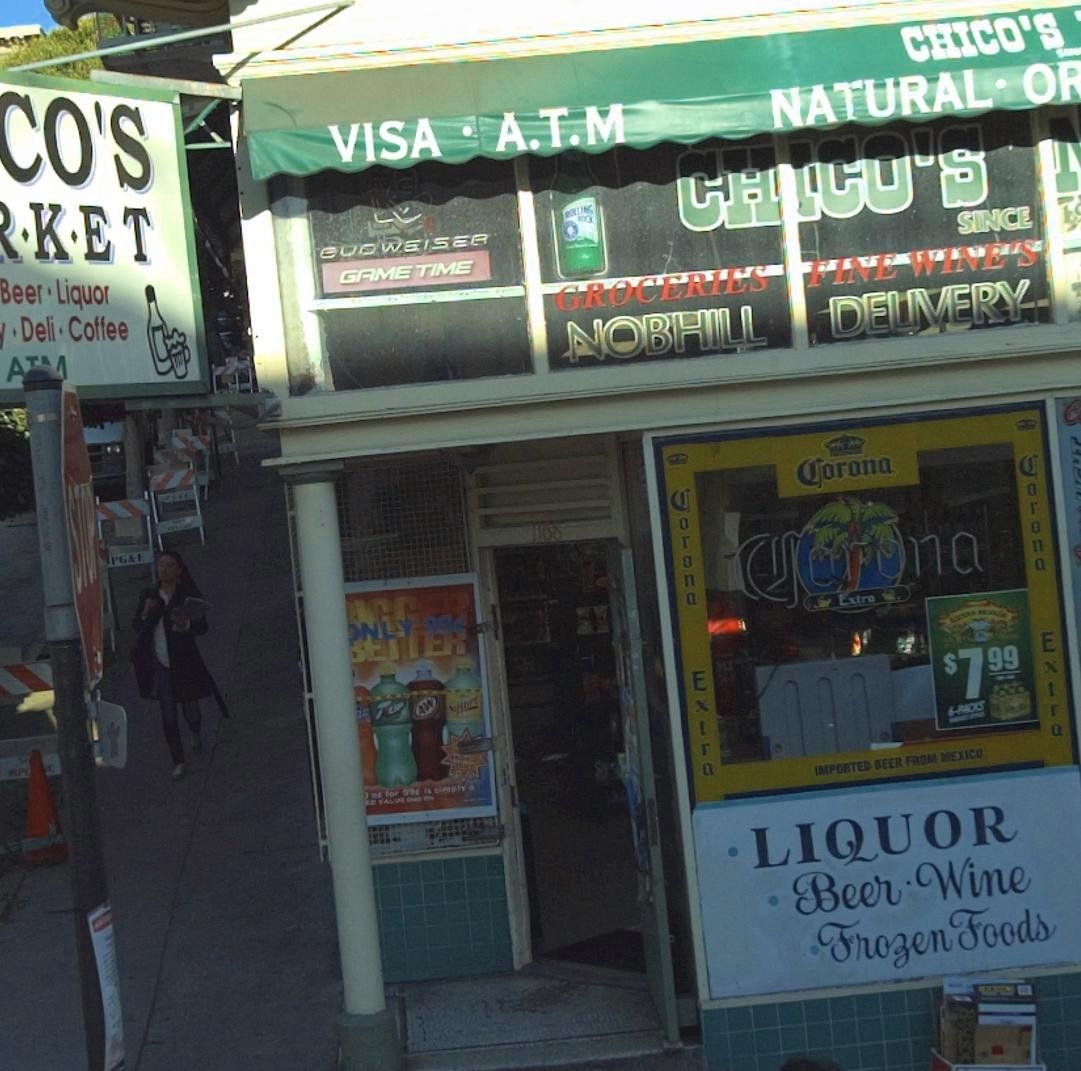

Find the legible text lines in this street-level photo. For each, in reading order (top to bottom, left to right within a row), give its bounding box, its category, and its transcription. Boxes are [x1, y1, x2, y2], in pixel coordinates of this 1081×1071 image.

[894, 8, 1072, 66] BusinessName: CHICO'S
[766, 61, 1060, 131] None: NATURAL * O
[0, 87, 158, 200] BusinessName: CO'S
[325, 101, 629, 165] None: VISA * A.T.M
[671, 119, 996, 238] BusinessName: CHICO'S
[0, 275, 115, 312] None: Beer * Liquor
[19, 314, 130, 345] None: Deli * Coffee
[27, 200, 161, 269] BusinessName: K*ET
[318, 232, 491, 261] None: BUDWEISER
[336, 257, 476, 286] None: GAME TIME
[564, 203, 595, 220] None: ROLLING
[574, 214, 593, 223] None: ROCK
[553, 262, 771, 314] None: GROCERIES
[565, 303, 770, 367] None: NOBHILL
[804, 235, 1040, 291] None: FINE WINE'S
[828, 276, 1035, 341] None: DELIVERY
[954, 203, 1036, 237] None: SINCE
[2, 352, 70, 386] None: A**
[793, 454, 894, 490] None: Corona
[66, 482, 100, 600] None: STOP
[110, 552, 146, 567] None: PG&E
[529, 518, 564, 543] StreetNumber: 1108
[728, 523, 988, 612] None: Corona
[667, 487, 718, 778] None: Corona Extra
[837, 593, 877, 607] None: Extra
[957, 646, 984, 701] None: 7
[948, 608, 1011, 625] None: SIERRA NEVADA
[986, 644, 1020, 672] None: 99
[1016, 452, 1065, 741] None: Corona Extra
[372, 698, 406, 722] None: 7*UP
[417, 694, 435, 718] None: AW
[946, 698, 987, 718] None: 6-PACKS
[813, 747, 984, 778] None: IMPORTED BEER FROM MEXICO
[747, 804, 1020, 871] None: LIQUOR
[790, 855, 1036, 917] None: Beer * Wine
[815, 905, 1060, 971] None: Frozen Foods